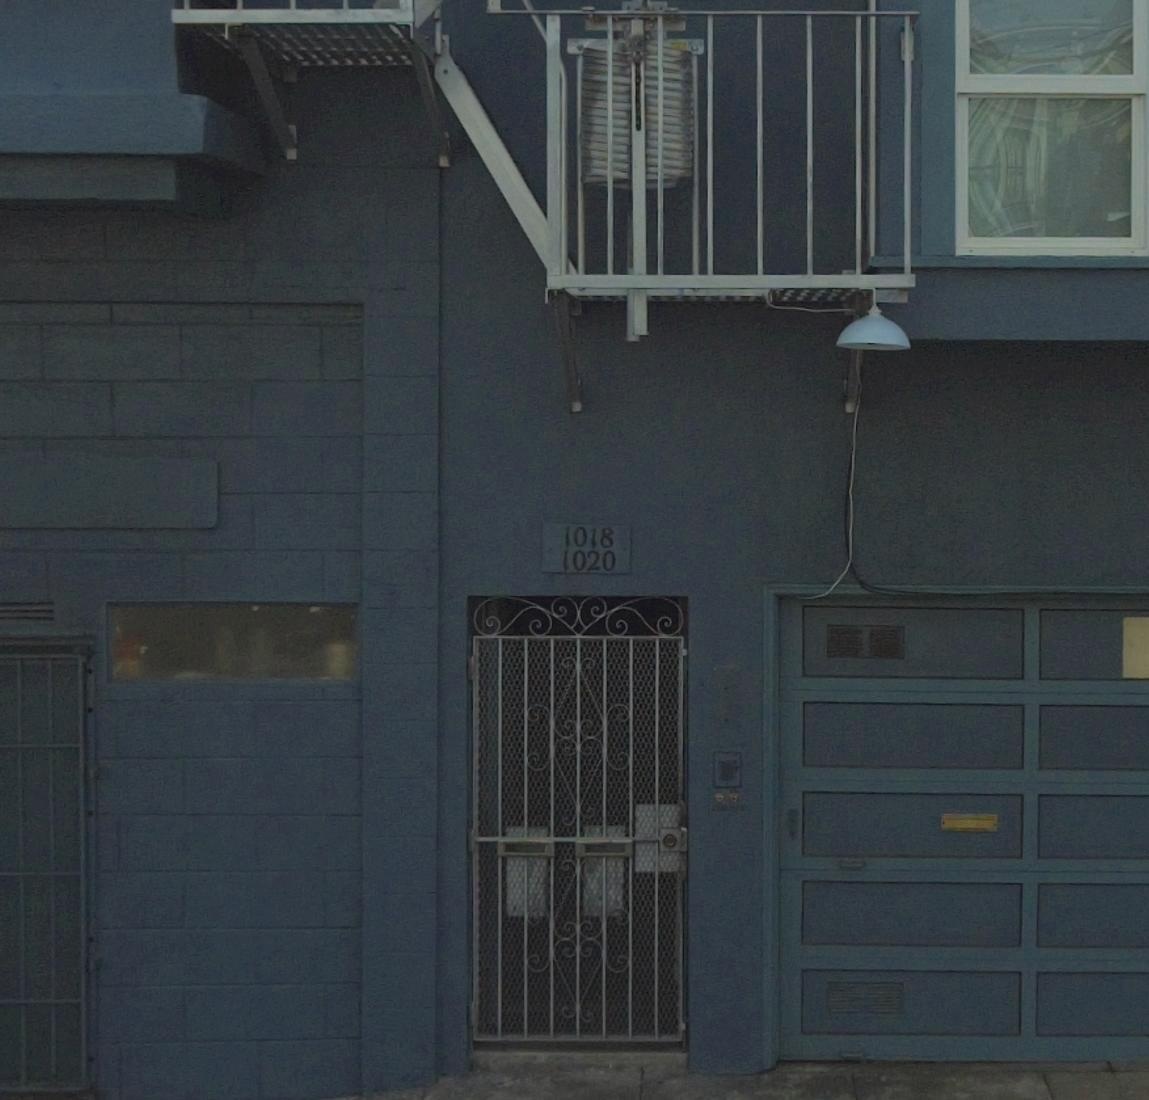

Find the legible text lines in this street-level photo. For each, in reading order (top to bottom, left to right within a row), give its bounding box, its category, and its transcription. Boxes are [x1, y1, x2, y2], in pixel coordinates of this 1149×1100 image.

[562, 524, 616, 550] StreetNumber: 1018
[561, 549, 617, 573] StreetNumber: 1020